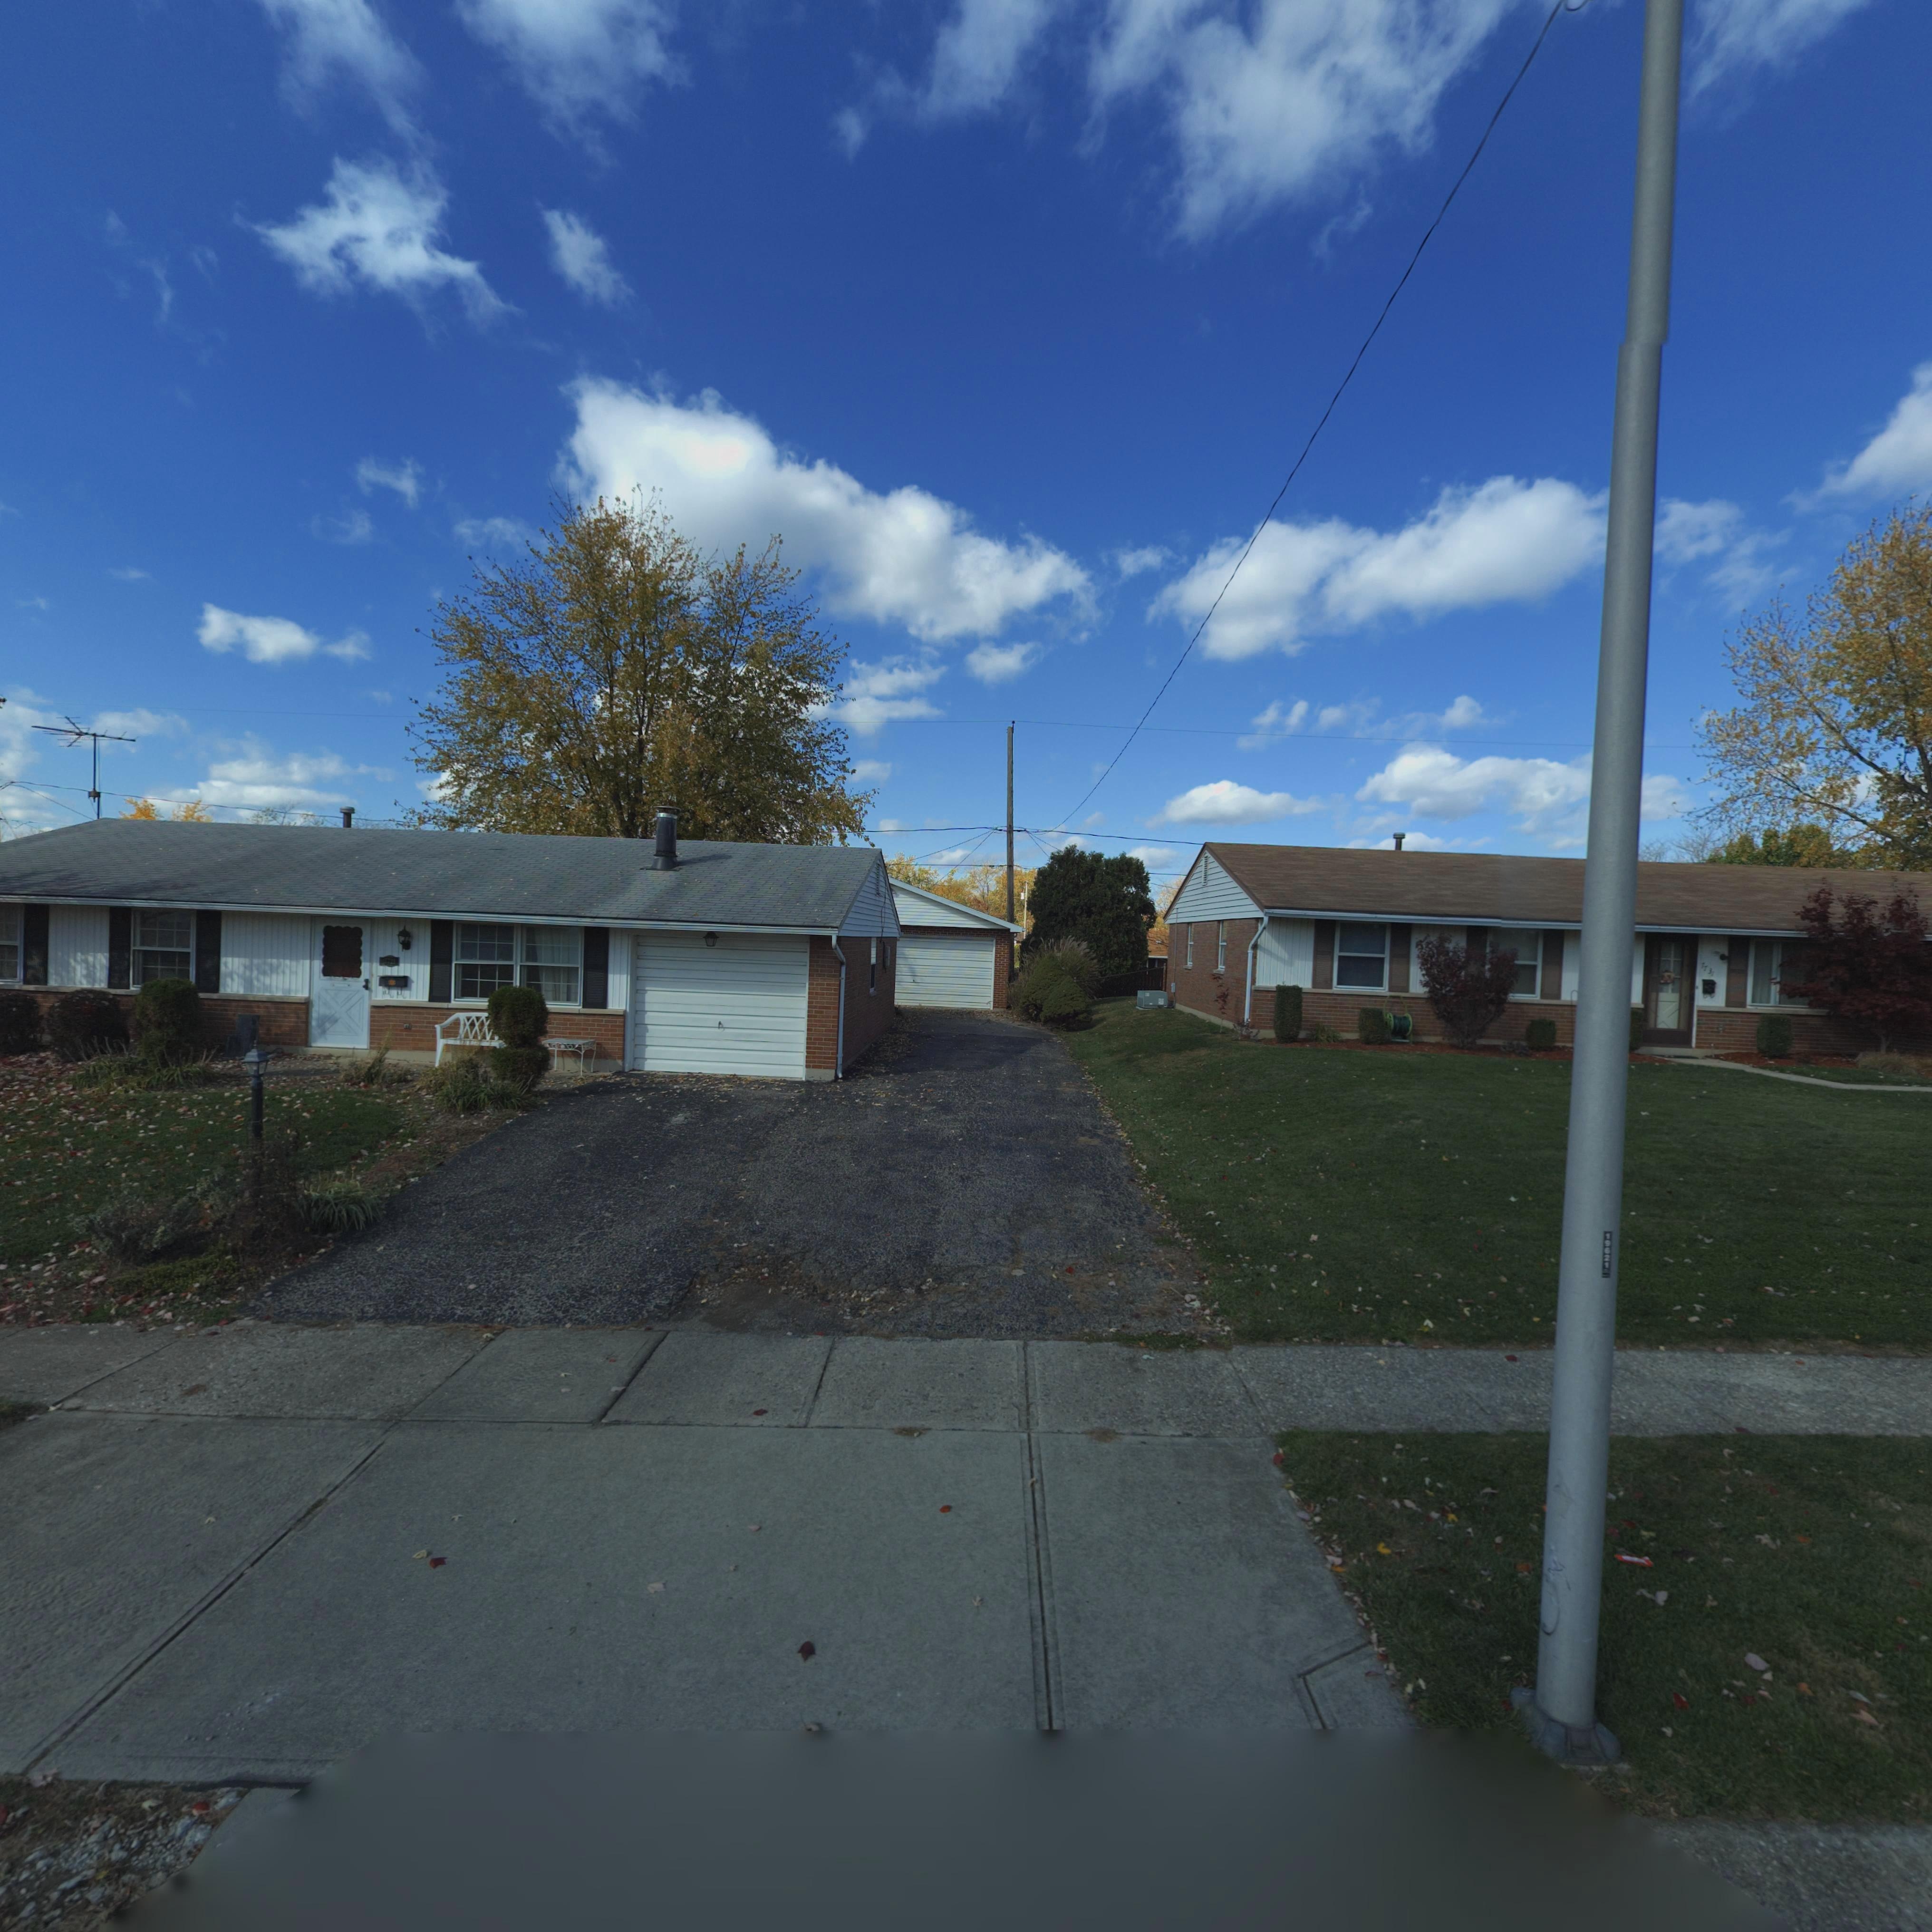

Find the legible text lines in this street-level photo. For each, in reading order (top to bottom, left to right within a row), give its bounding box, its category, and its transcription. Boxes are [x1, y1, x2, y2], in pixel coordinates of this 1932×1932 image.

[384, 957, 396, 965] StreetNumber: 7721
[1700, 962, 1715, 977] StreetNumber: 7731